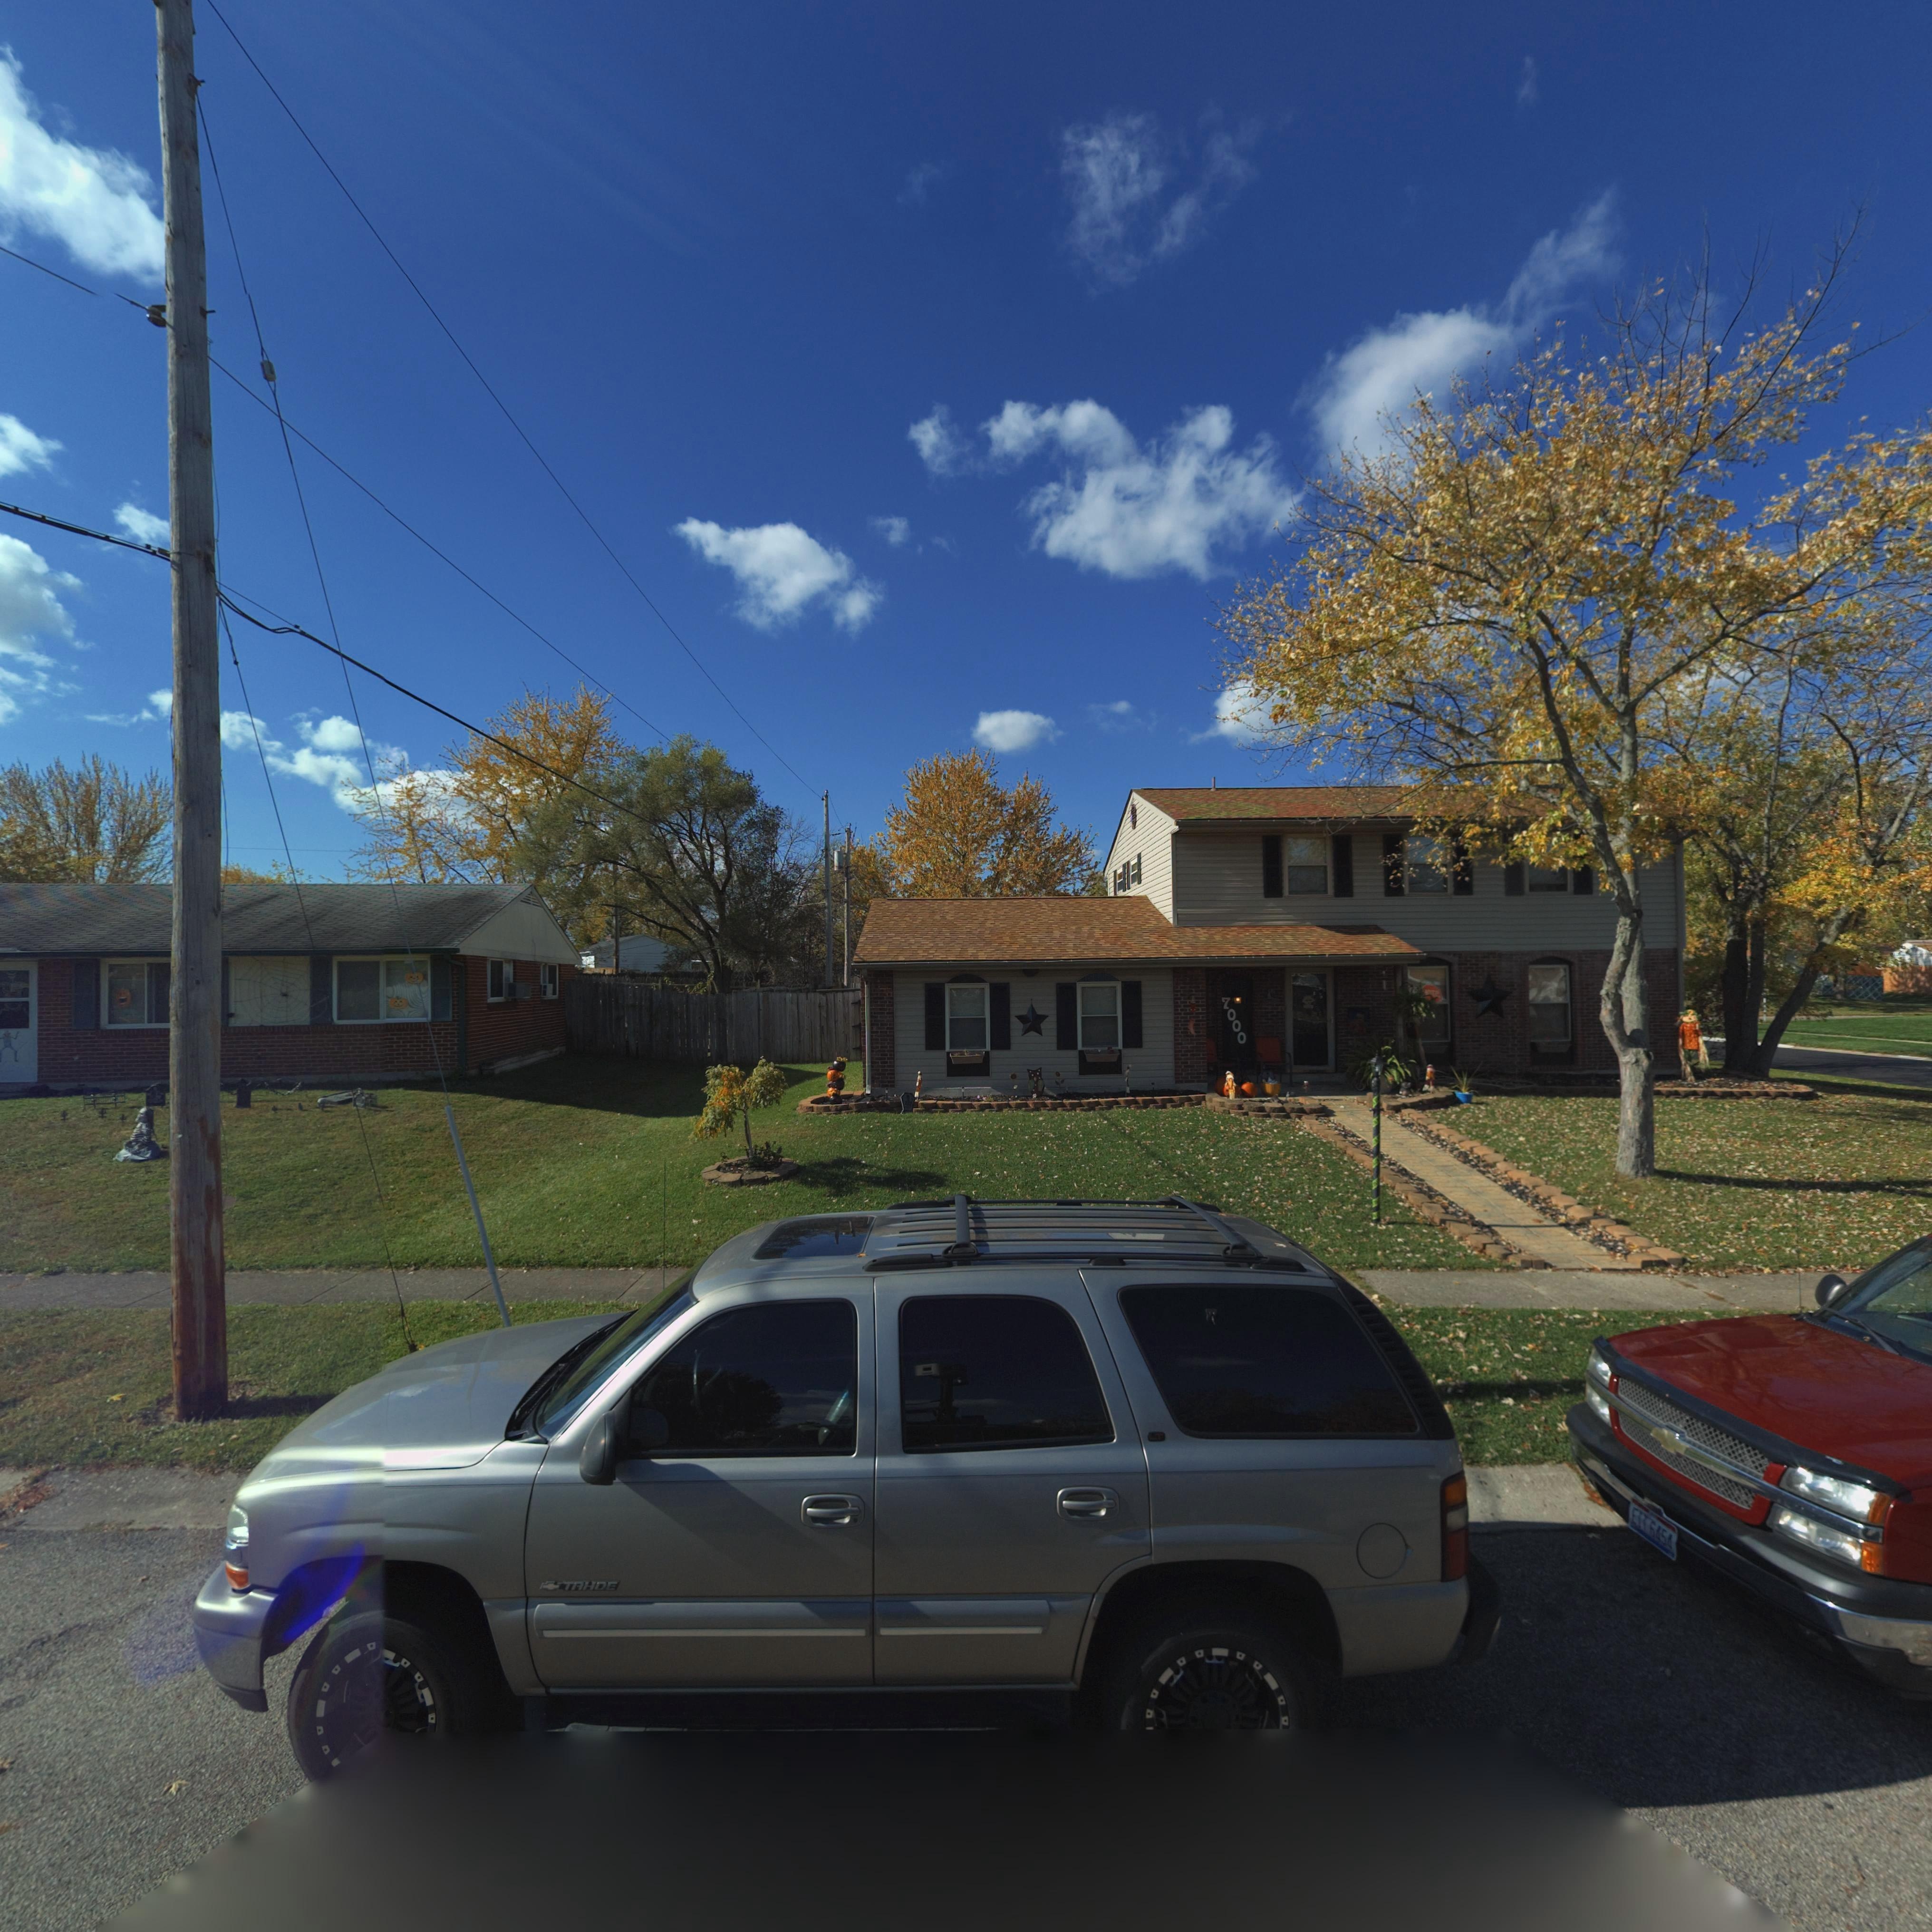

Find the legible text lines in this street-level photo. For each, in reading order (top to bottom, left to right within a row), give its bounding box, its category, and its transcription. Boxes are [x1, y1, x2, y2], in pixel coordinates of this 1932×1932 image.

[1220, 996, 1248, 1046] StreetNumber: 7000